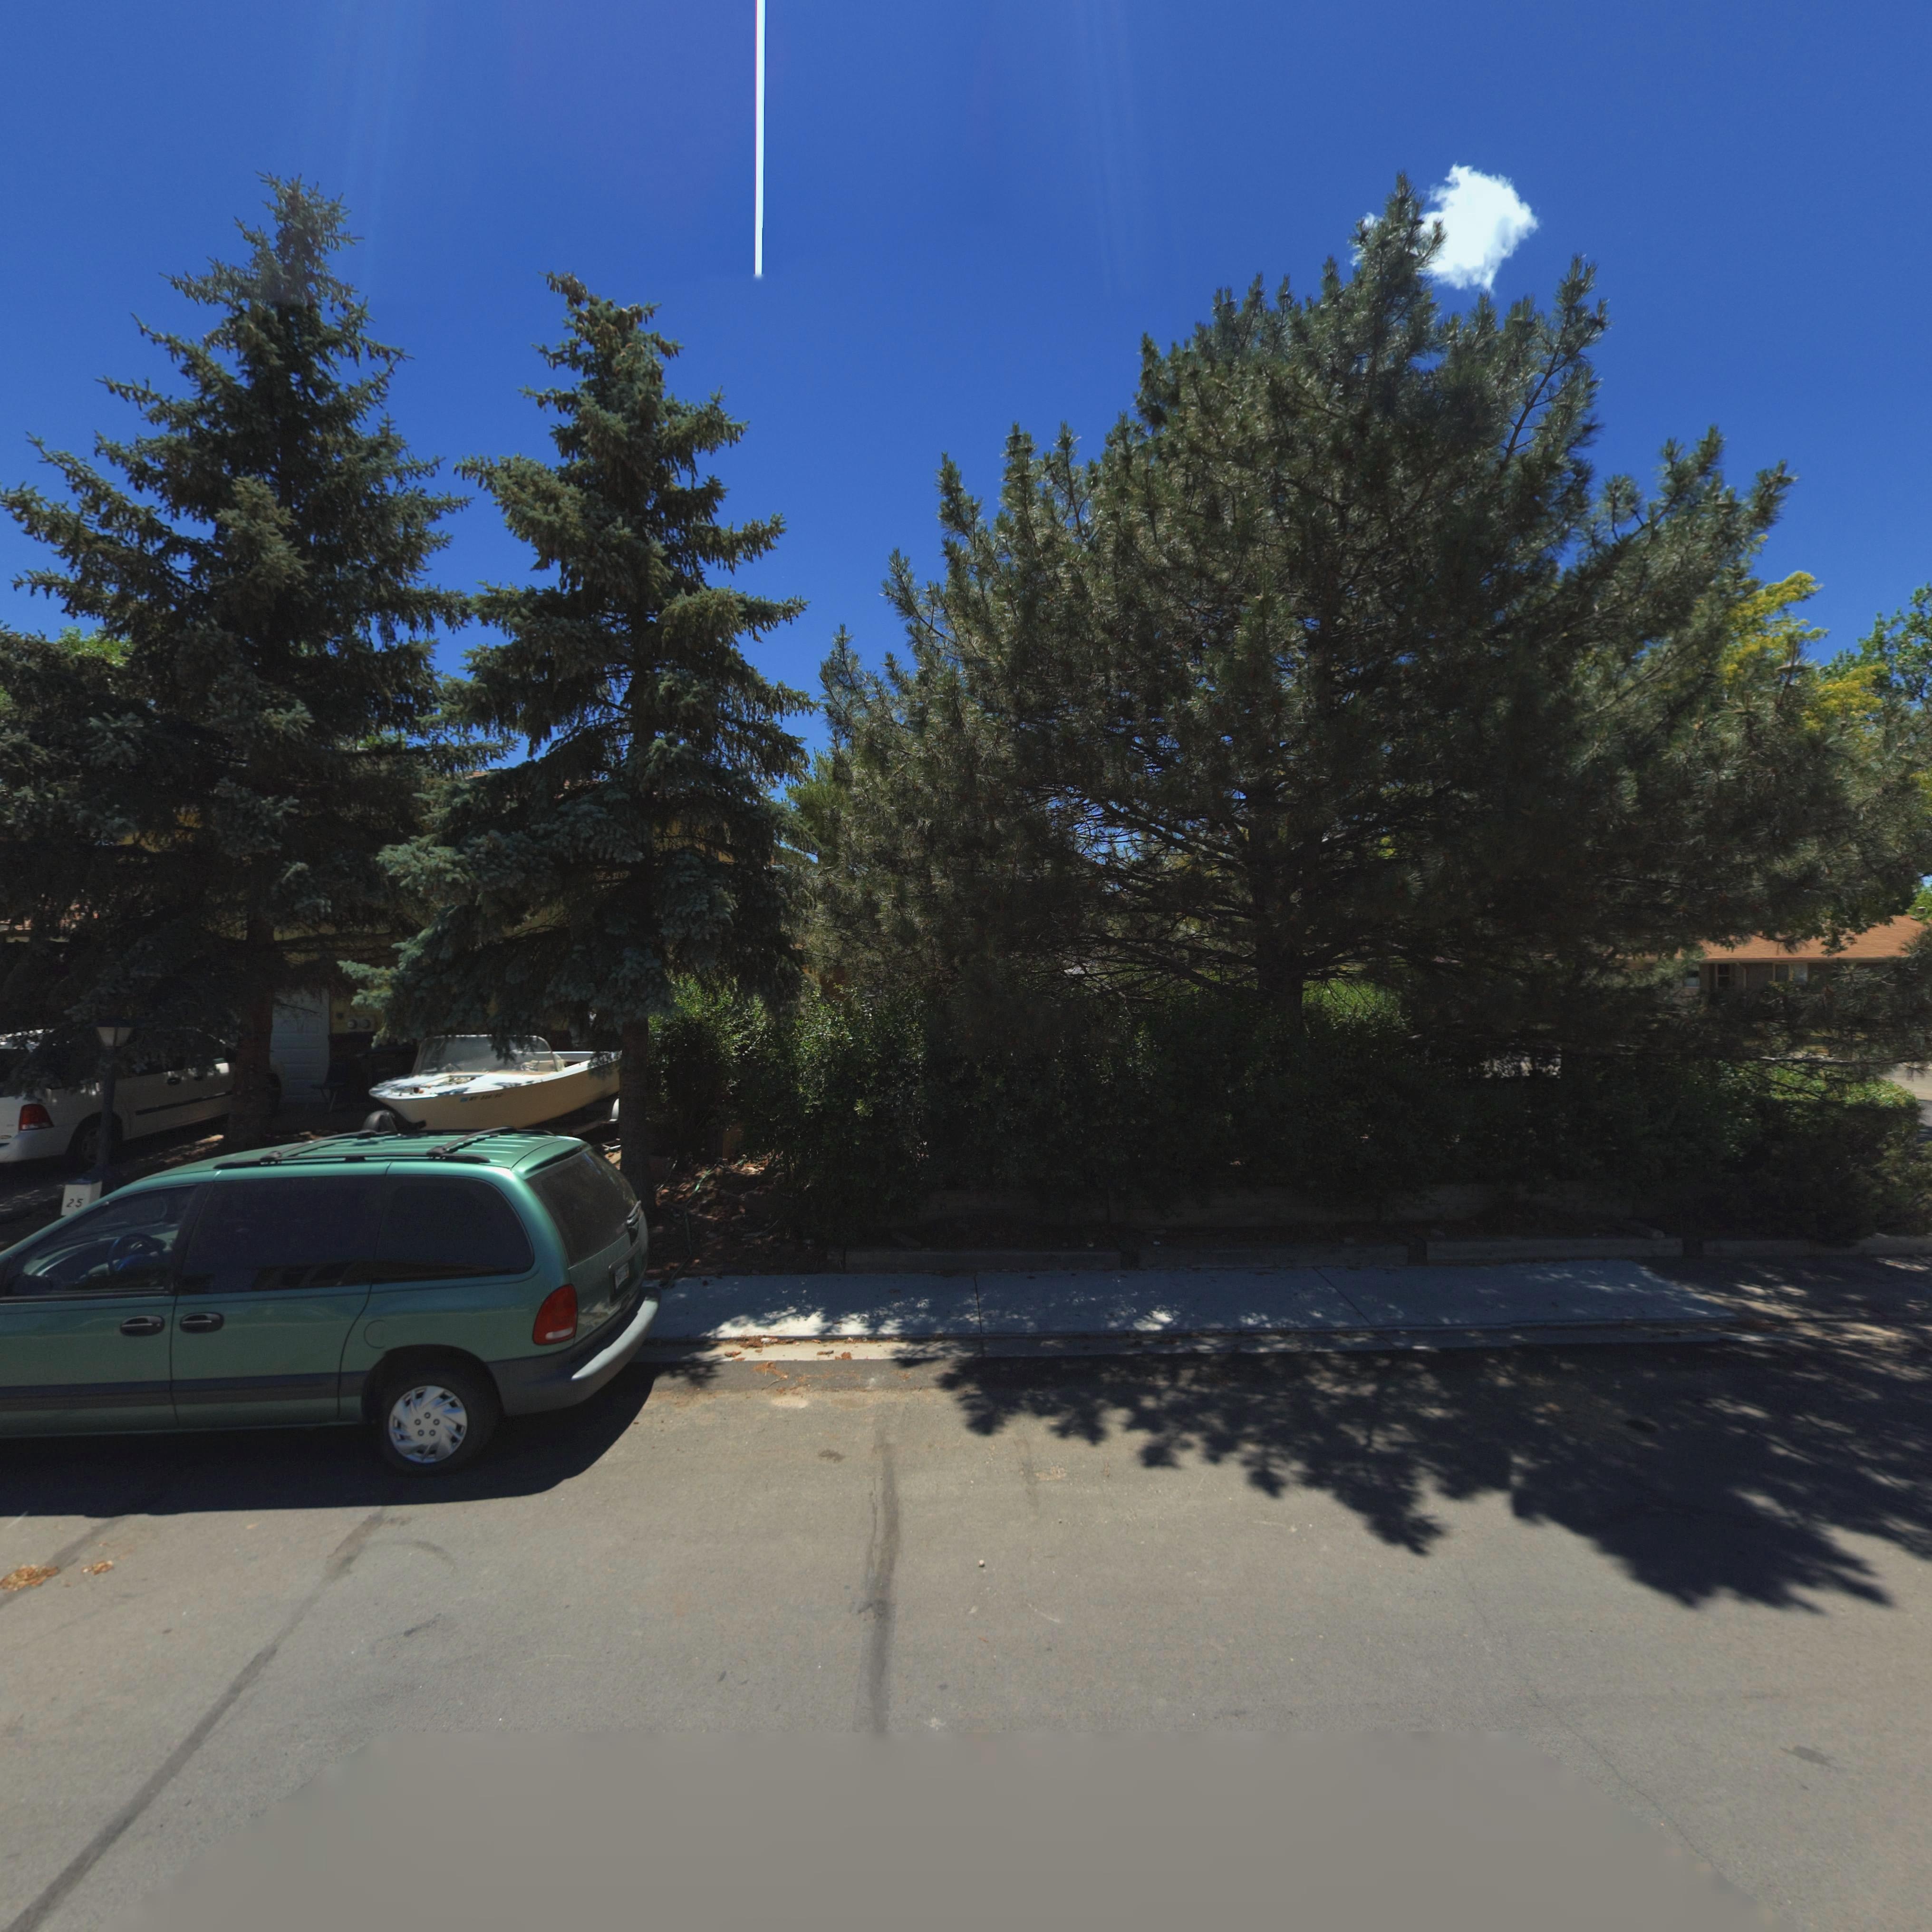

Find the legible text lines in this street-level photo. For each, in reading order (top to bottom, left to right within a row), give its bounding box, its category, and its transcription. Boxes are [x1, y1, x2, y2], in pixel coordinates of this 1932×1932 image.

[65, 1197, 85, 1208] StreetNumber: 25